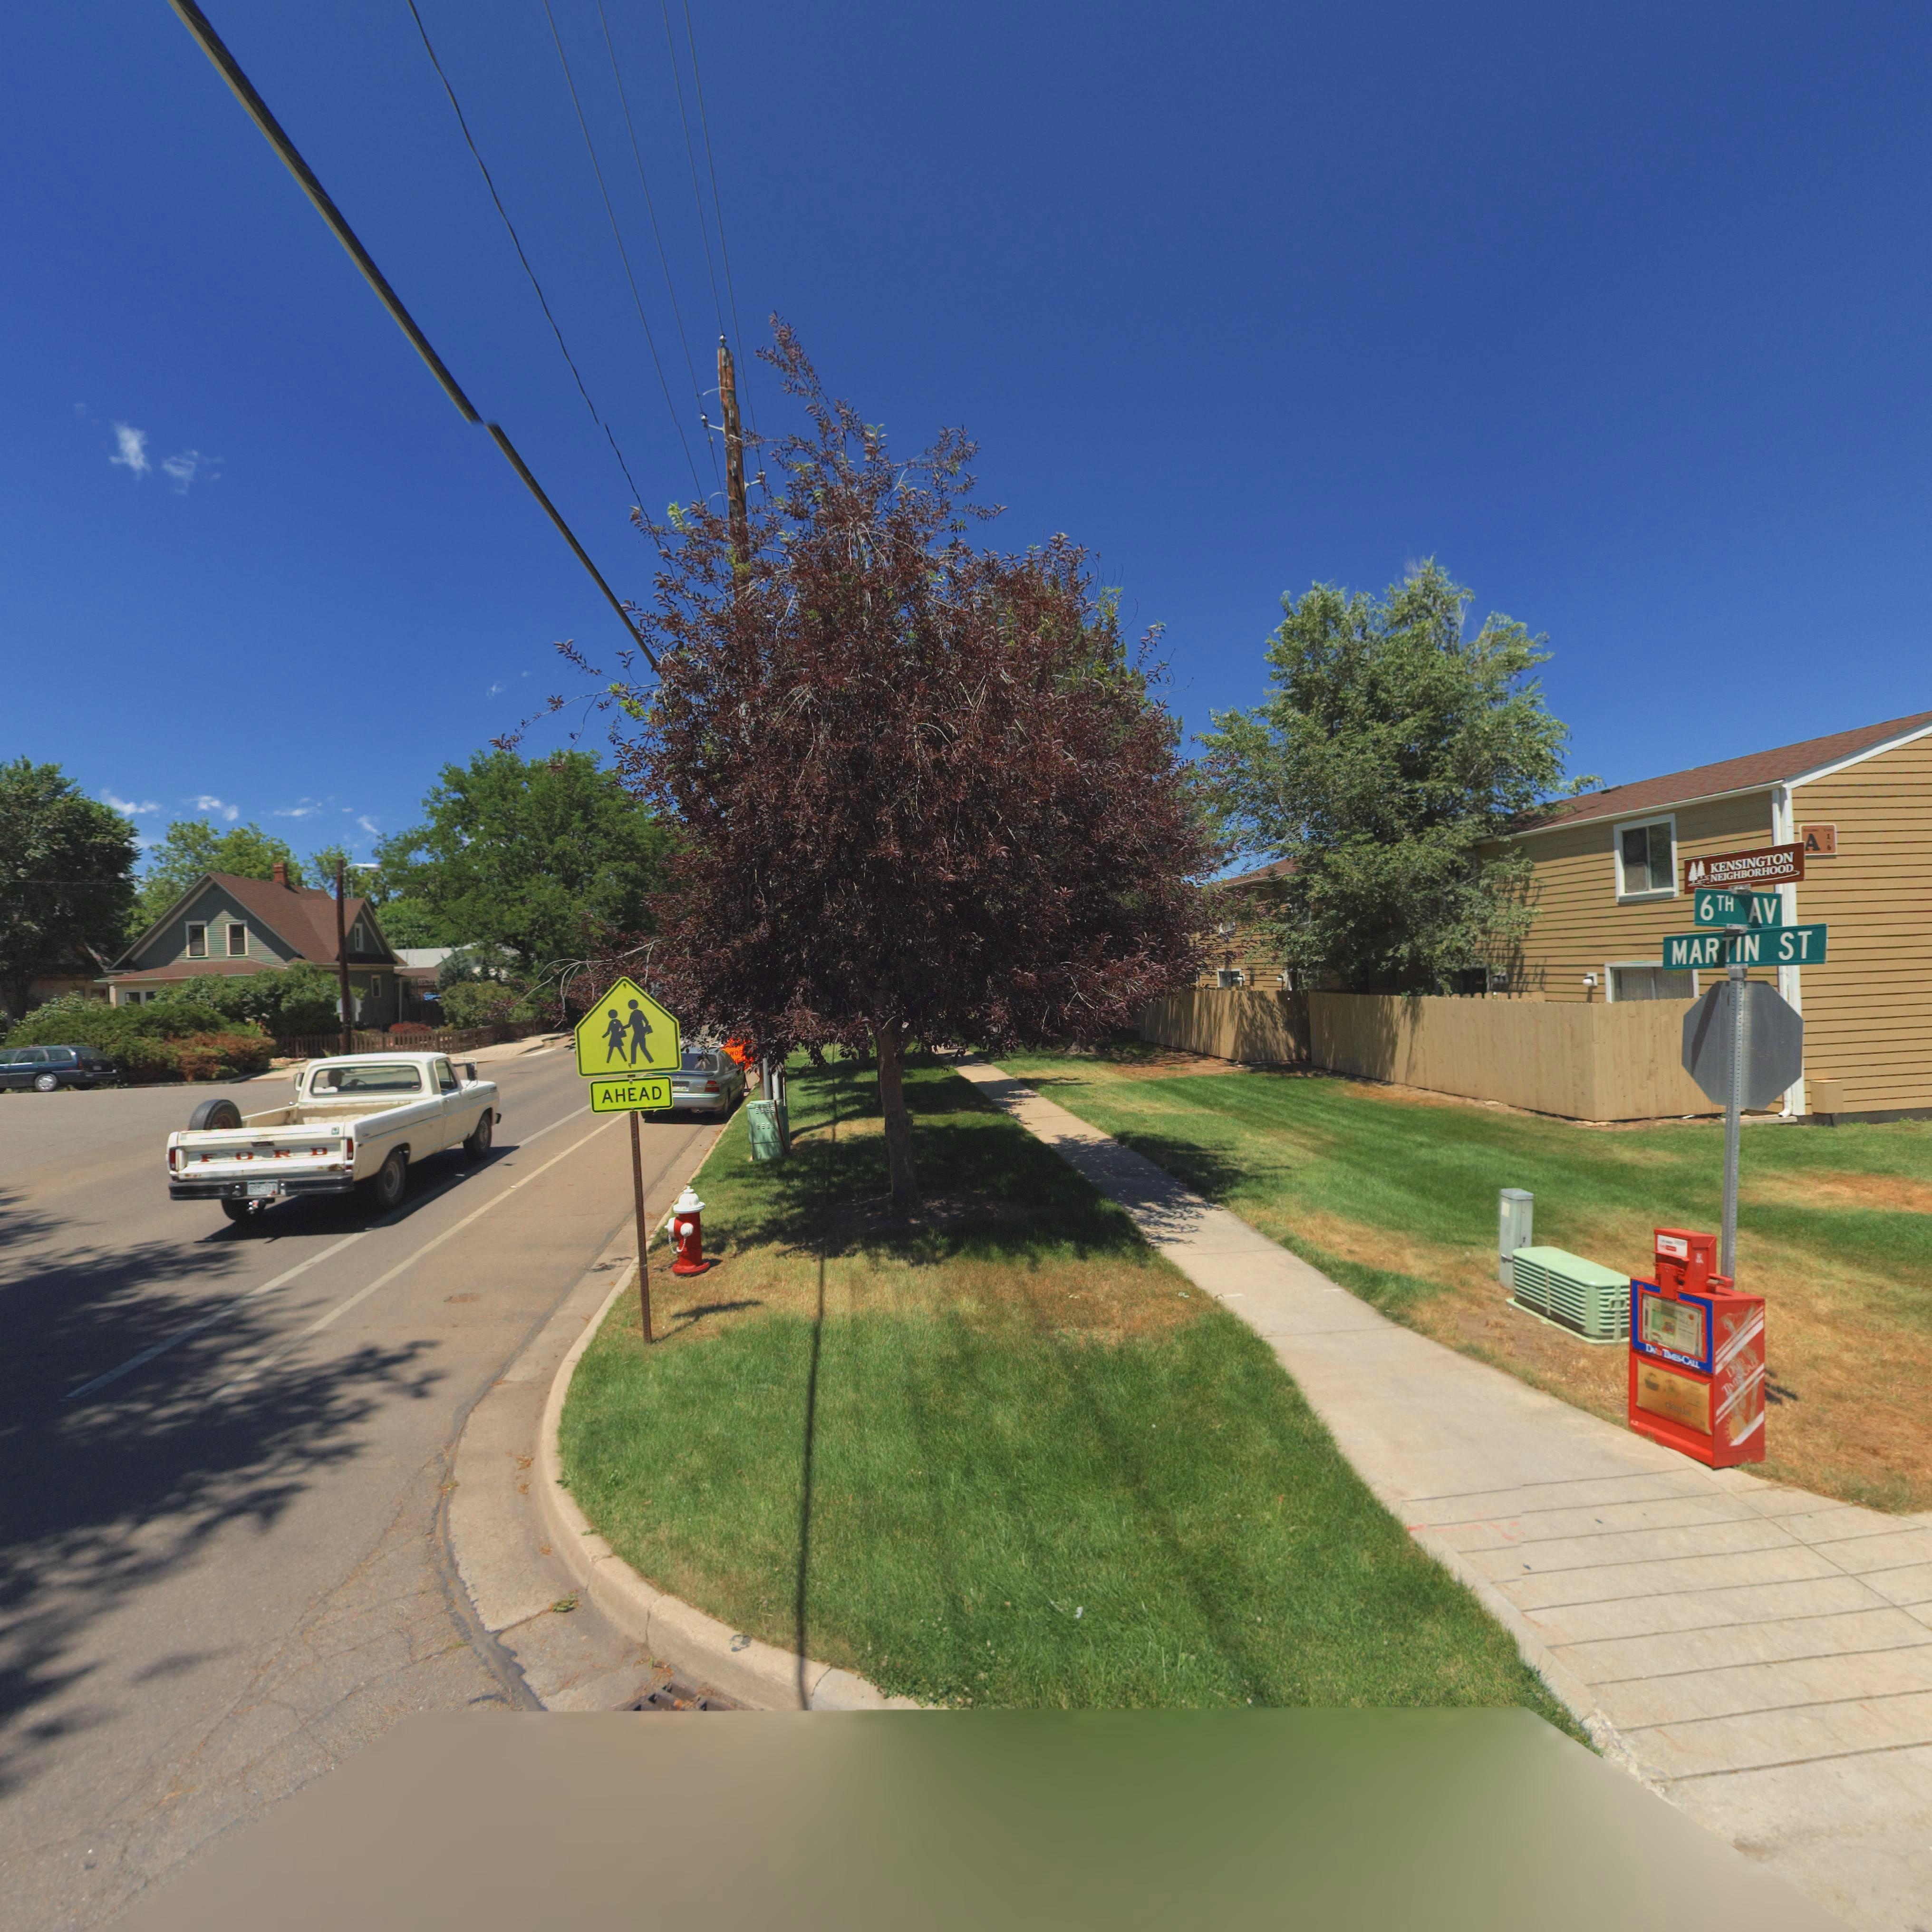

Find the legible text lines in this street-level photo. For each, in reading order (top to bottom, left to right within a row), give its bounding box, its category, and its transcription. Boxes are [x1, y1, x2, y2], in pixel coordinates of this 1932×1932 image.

[1699, 893, 1778, 925] StreetNumber: 6TH AV
[1671, 929, 1814, 966] StreetName: MARTIN ST